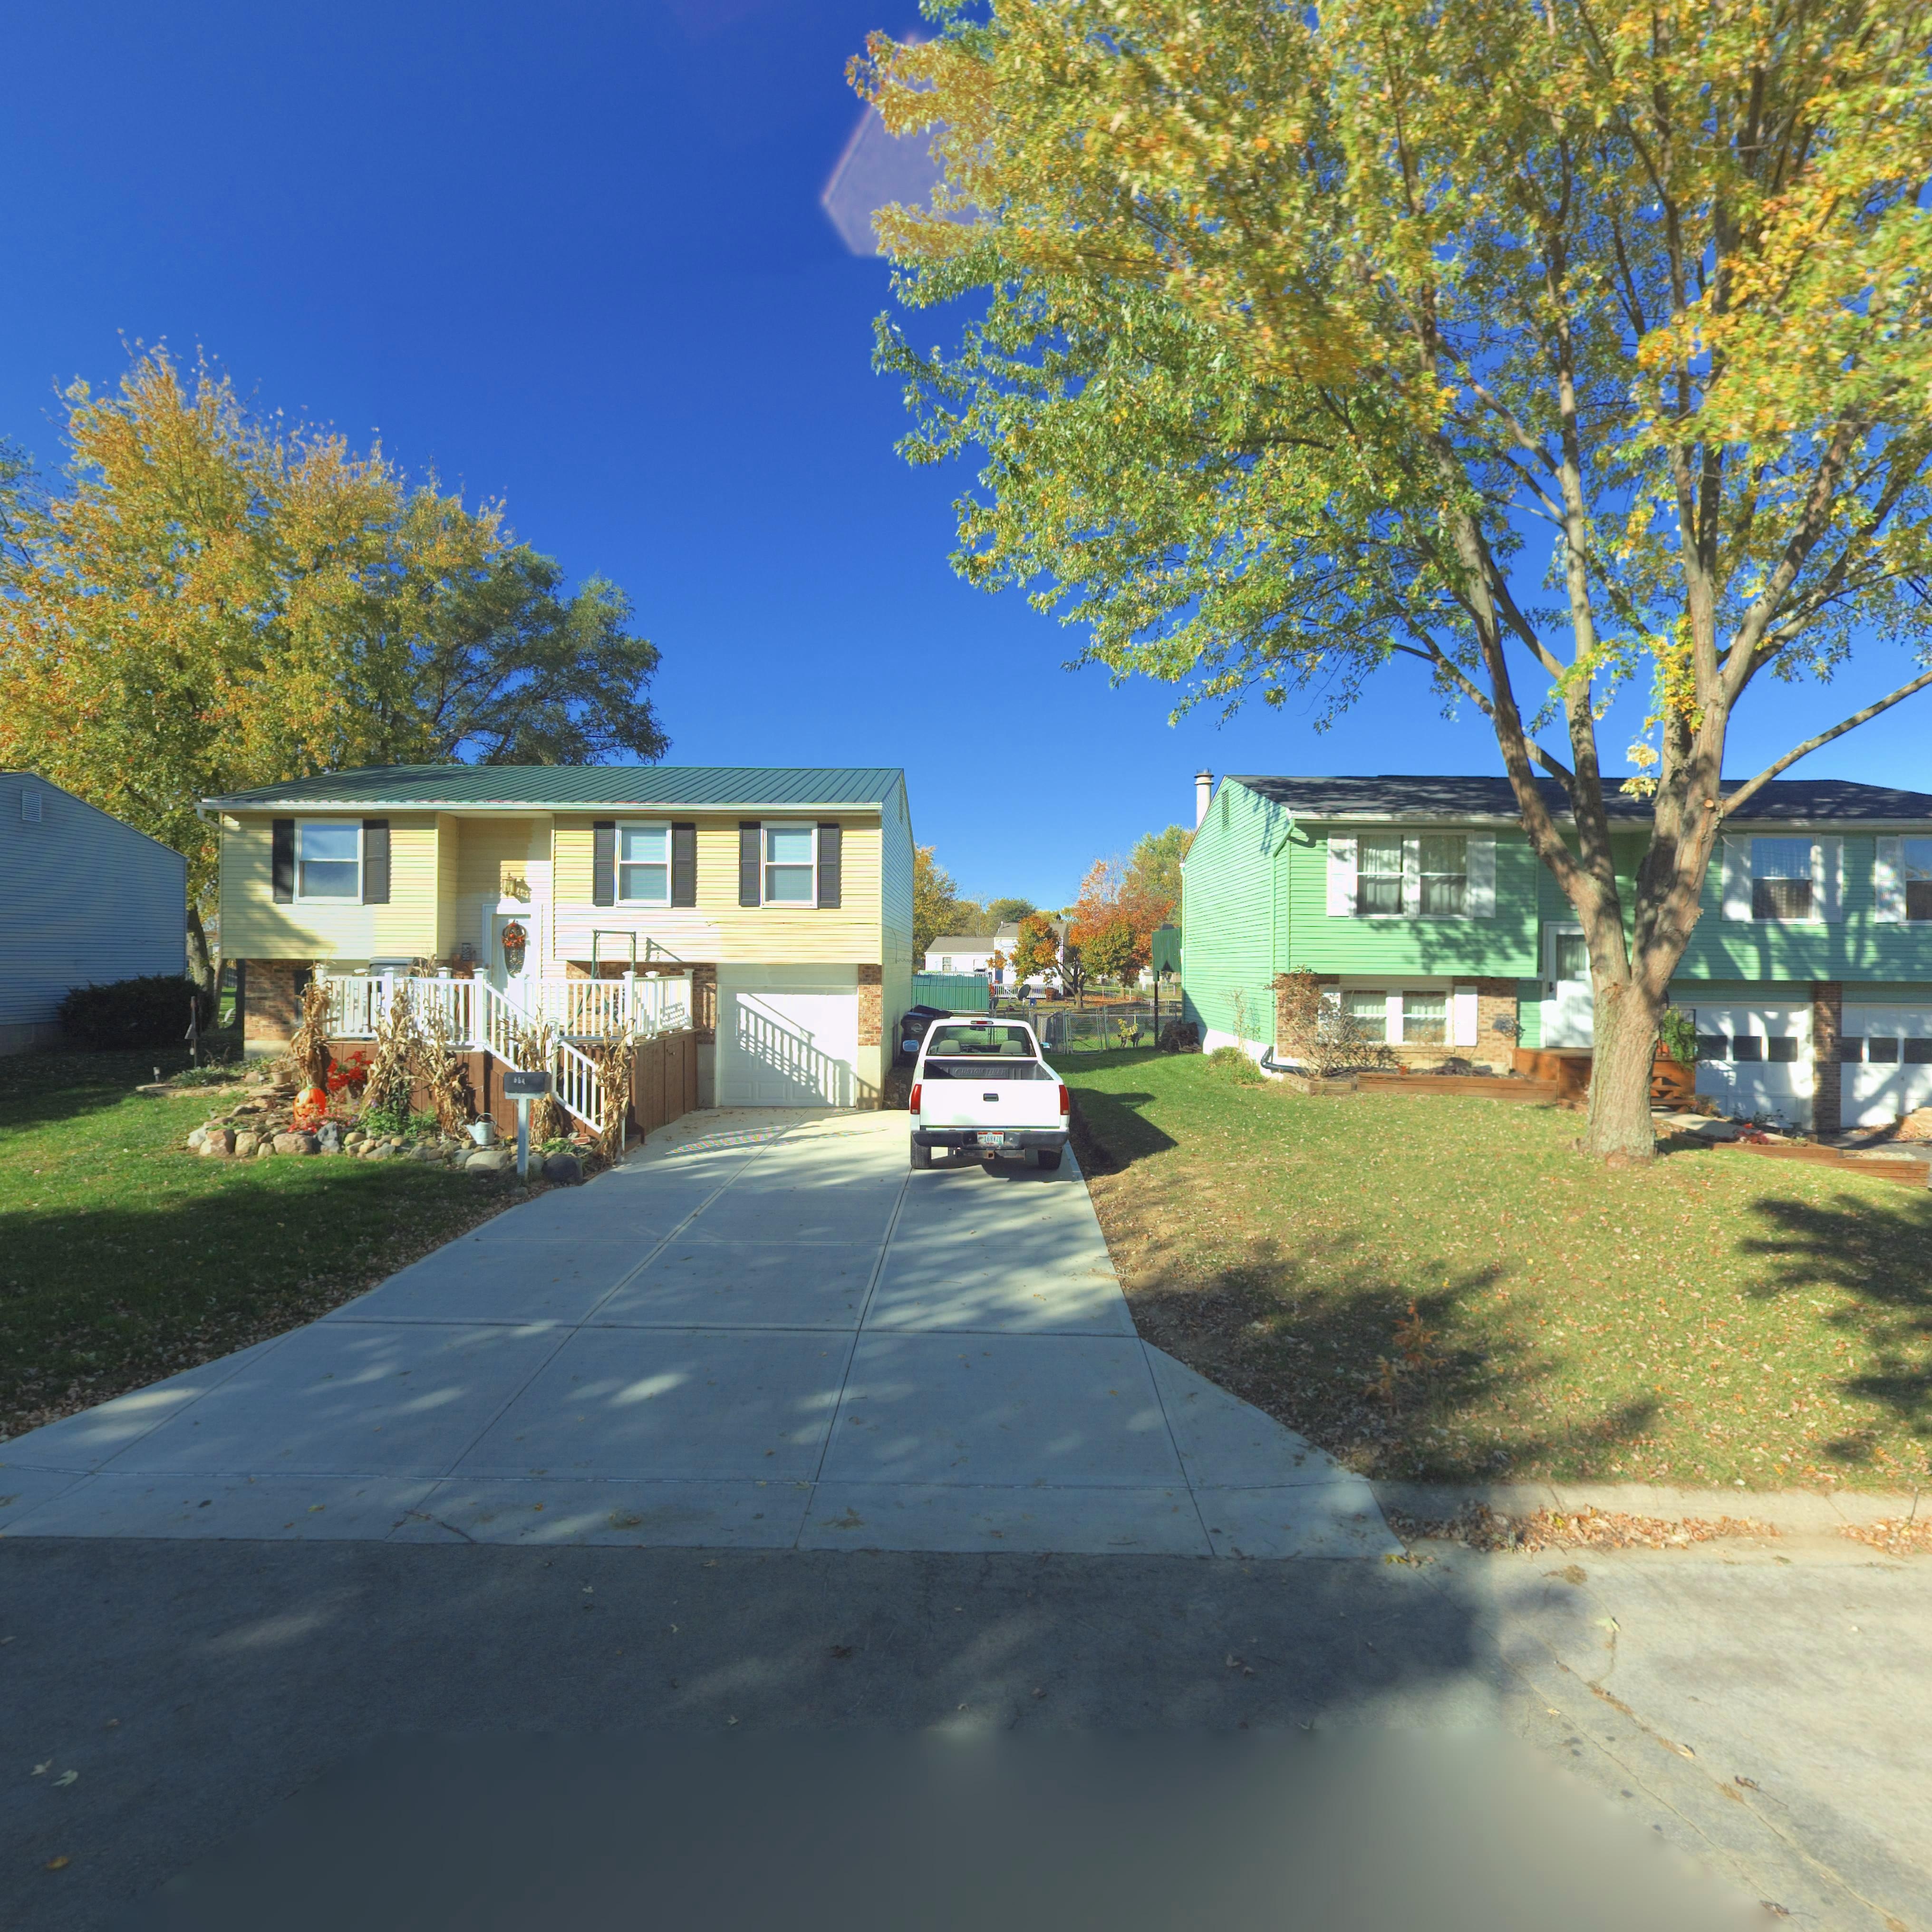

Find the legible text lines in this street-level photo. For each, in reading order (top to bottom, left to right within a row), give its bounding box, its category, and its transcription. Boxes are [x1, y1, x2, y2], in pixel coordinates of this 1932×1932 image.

[513, 1076, 526, 1085] StreetNumber: 664